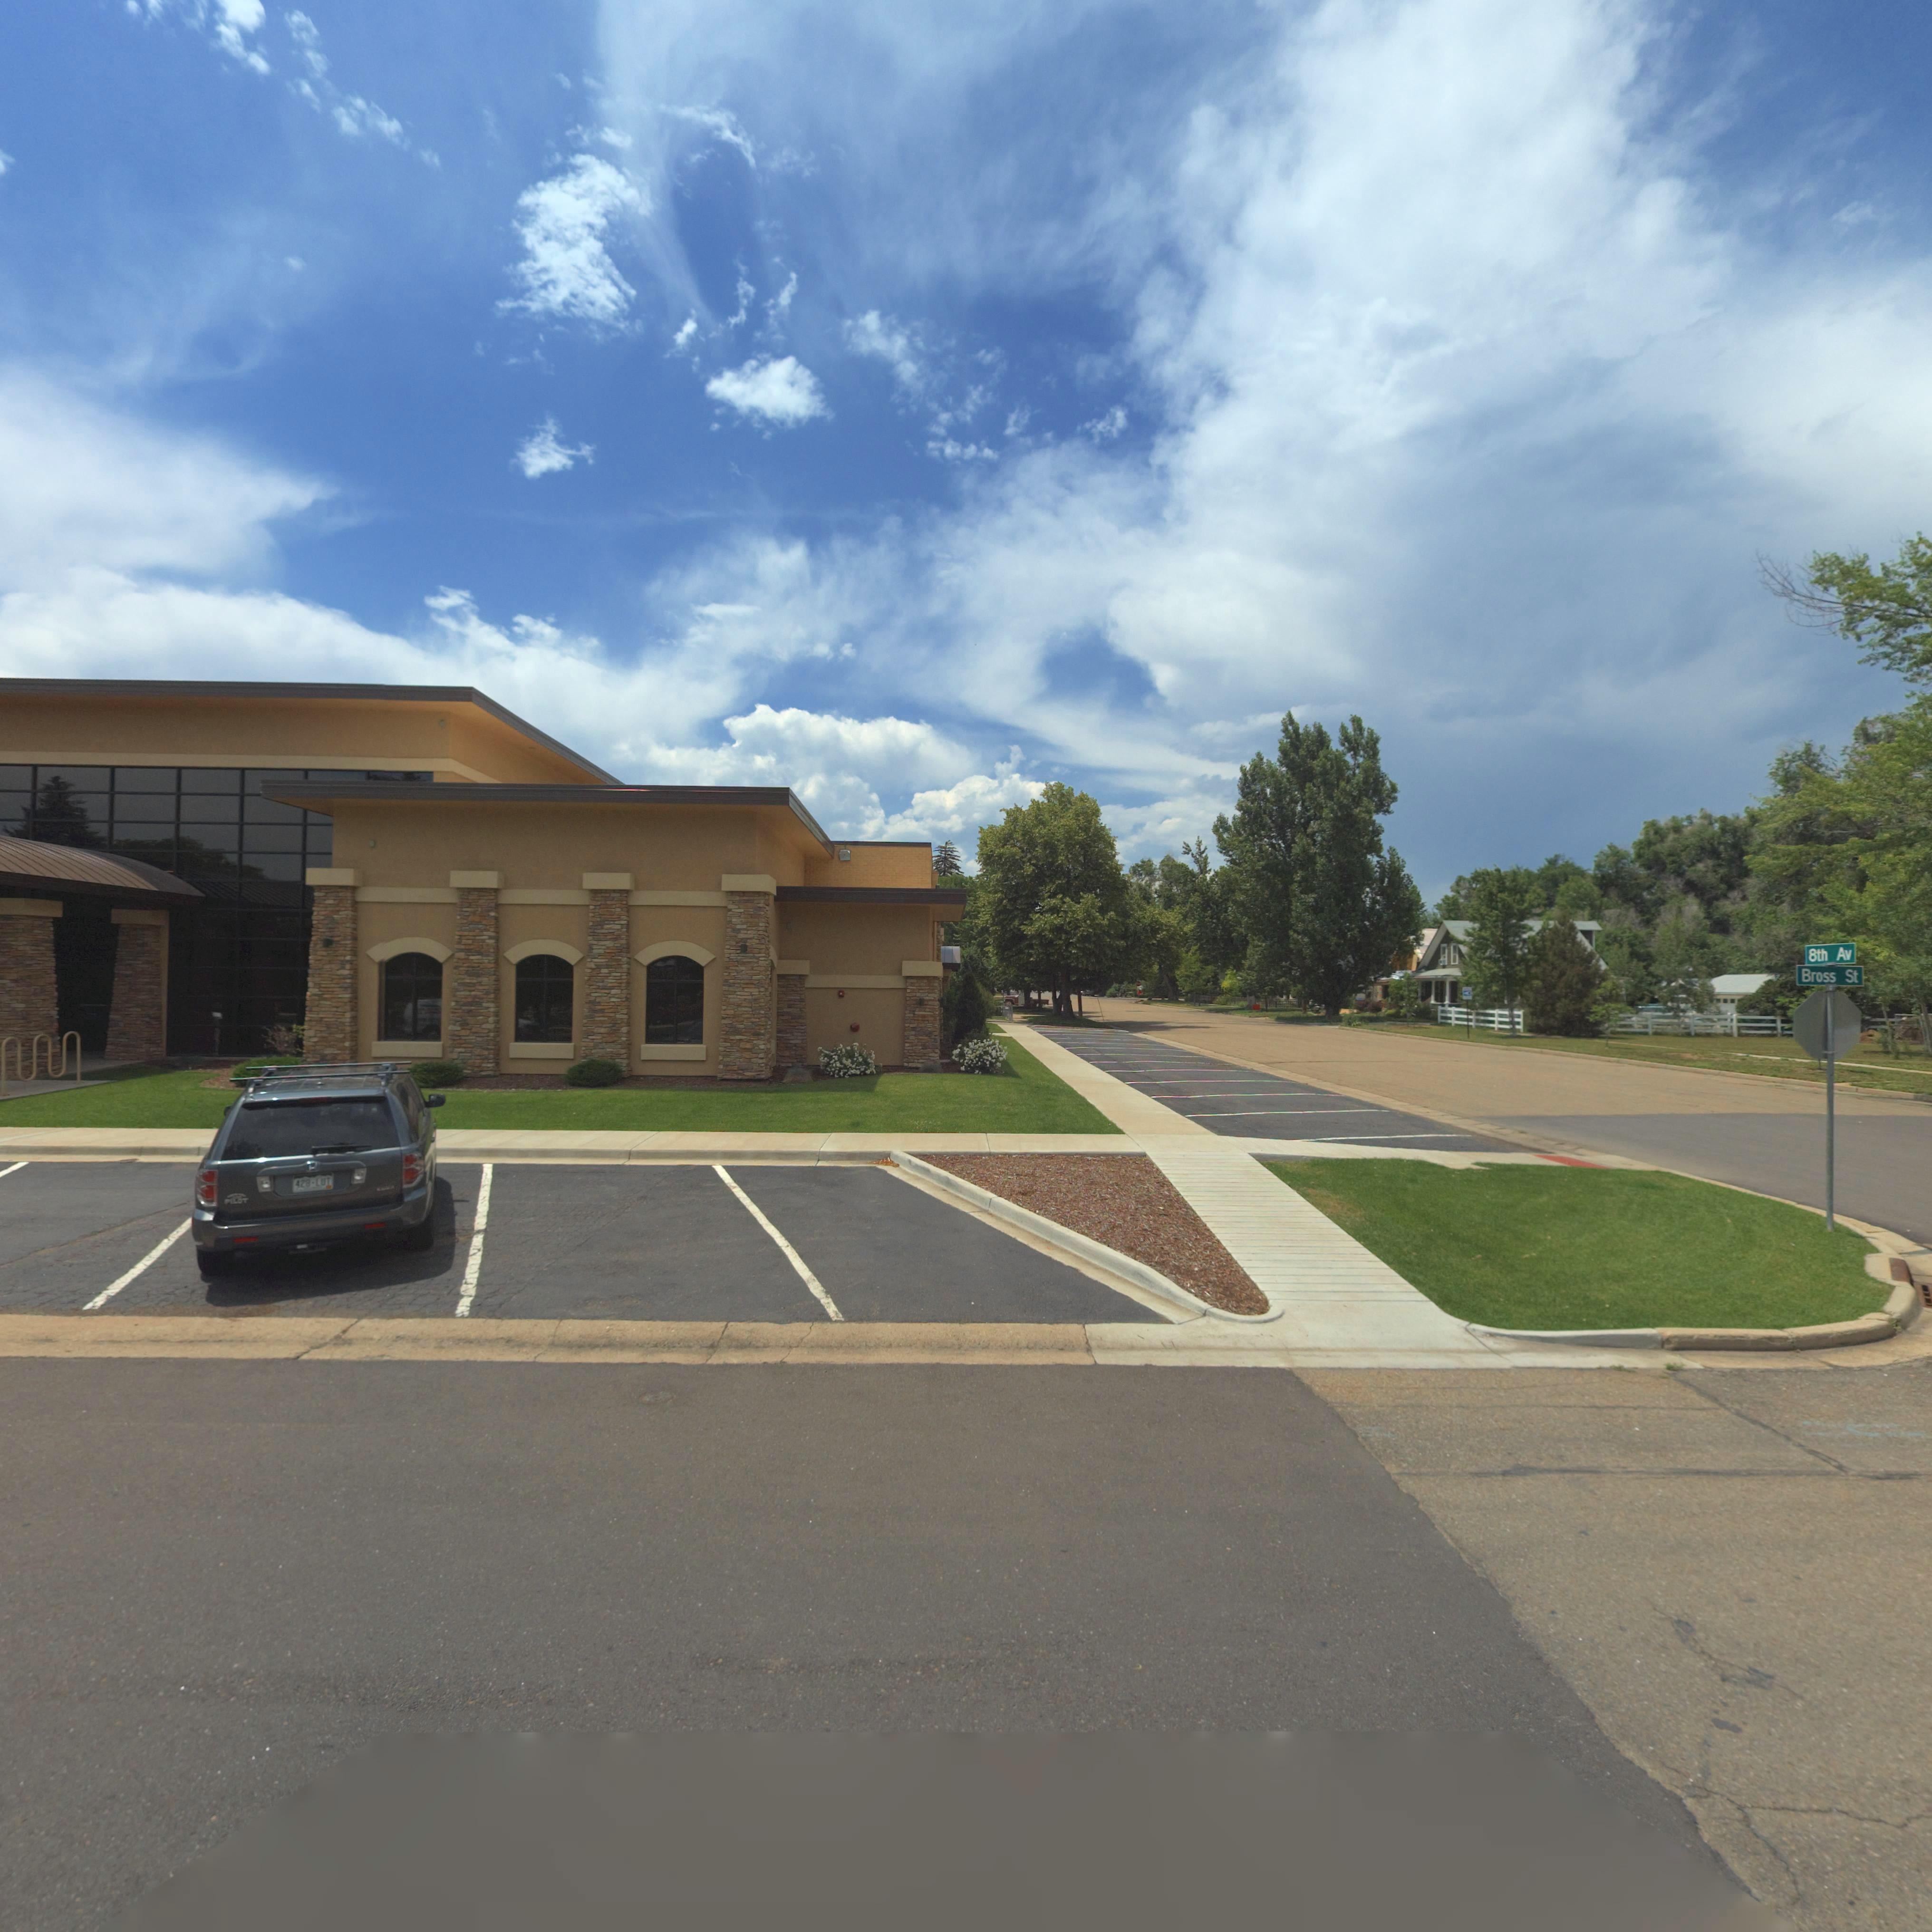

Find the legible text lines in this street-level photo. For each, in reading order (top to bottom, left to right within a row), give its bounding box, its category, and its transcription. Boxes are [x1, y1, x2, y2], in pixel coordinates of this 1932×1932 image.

[1808, 946, 1853, 962] StreetName: 8th Av
[1801, 968, 1859, 983] StreetName: Bross St